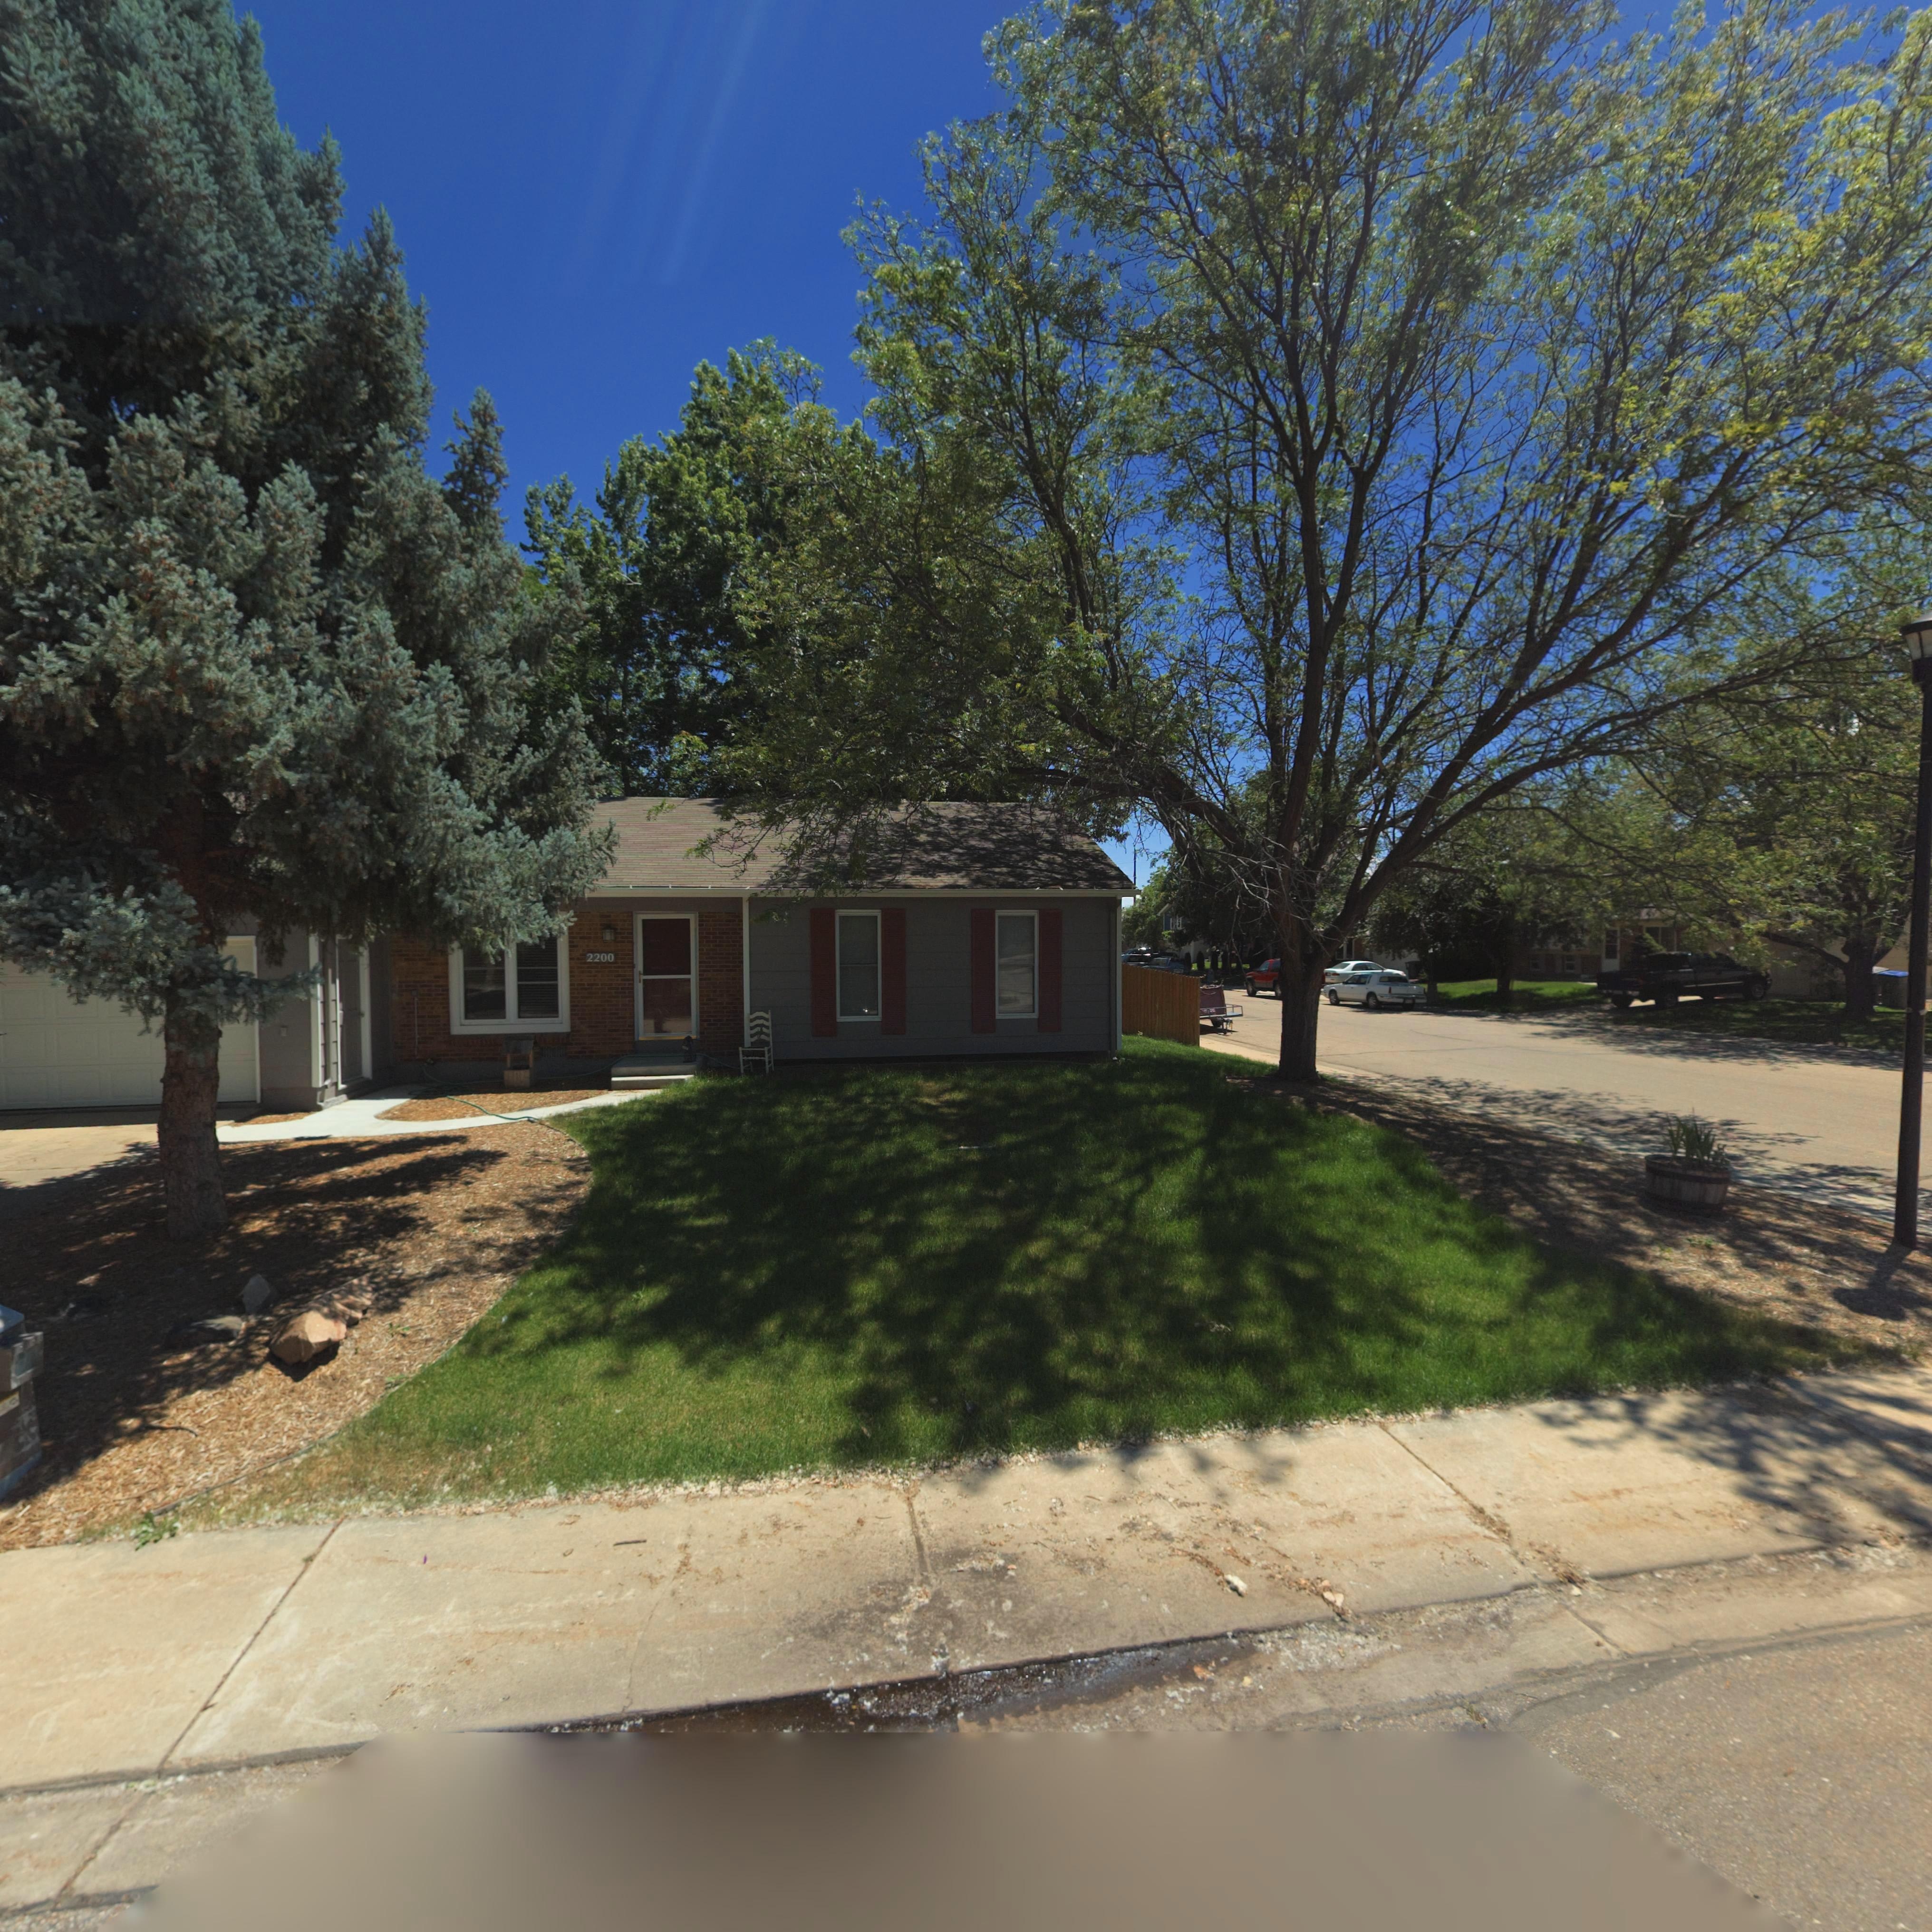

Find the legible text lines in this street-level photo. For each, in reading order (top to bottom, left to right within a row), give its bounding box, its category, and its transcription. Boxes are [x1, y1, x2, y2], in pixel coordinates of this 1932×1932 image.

[587, 953, 614, 962] StreetNumber: 2200